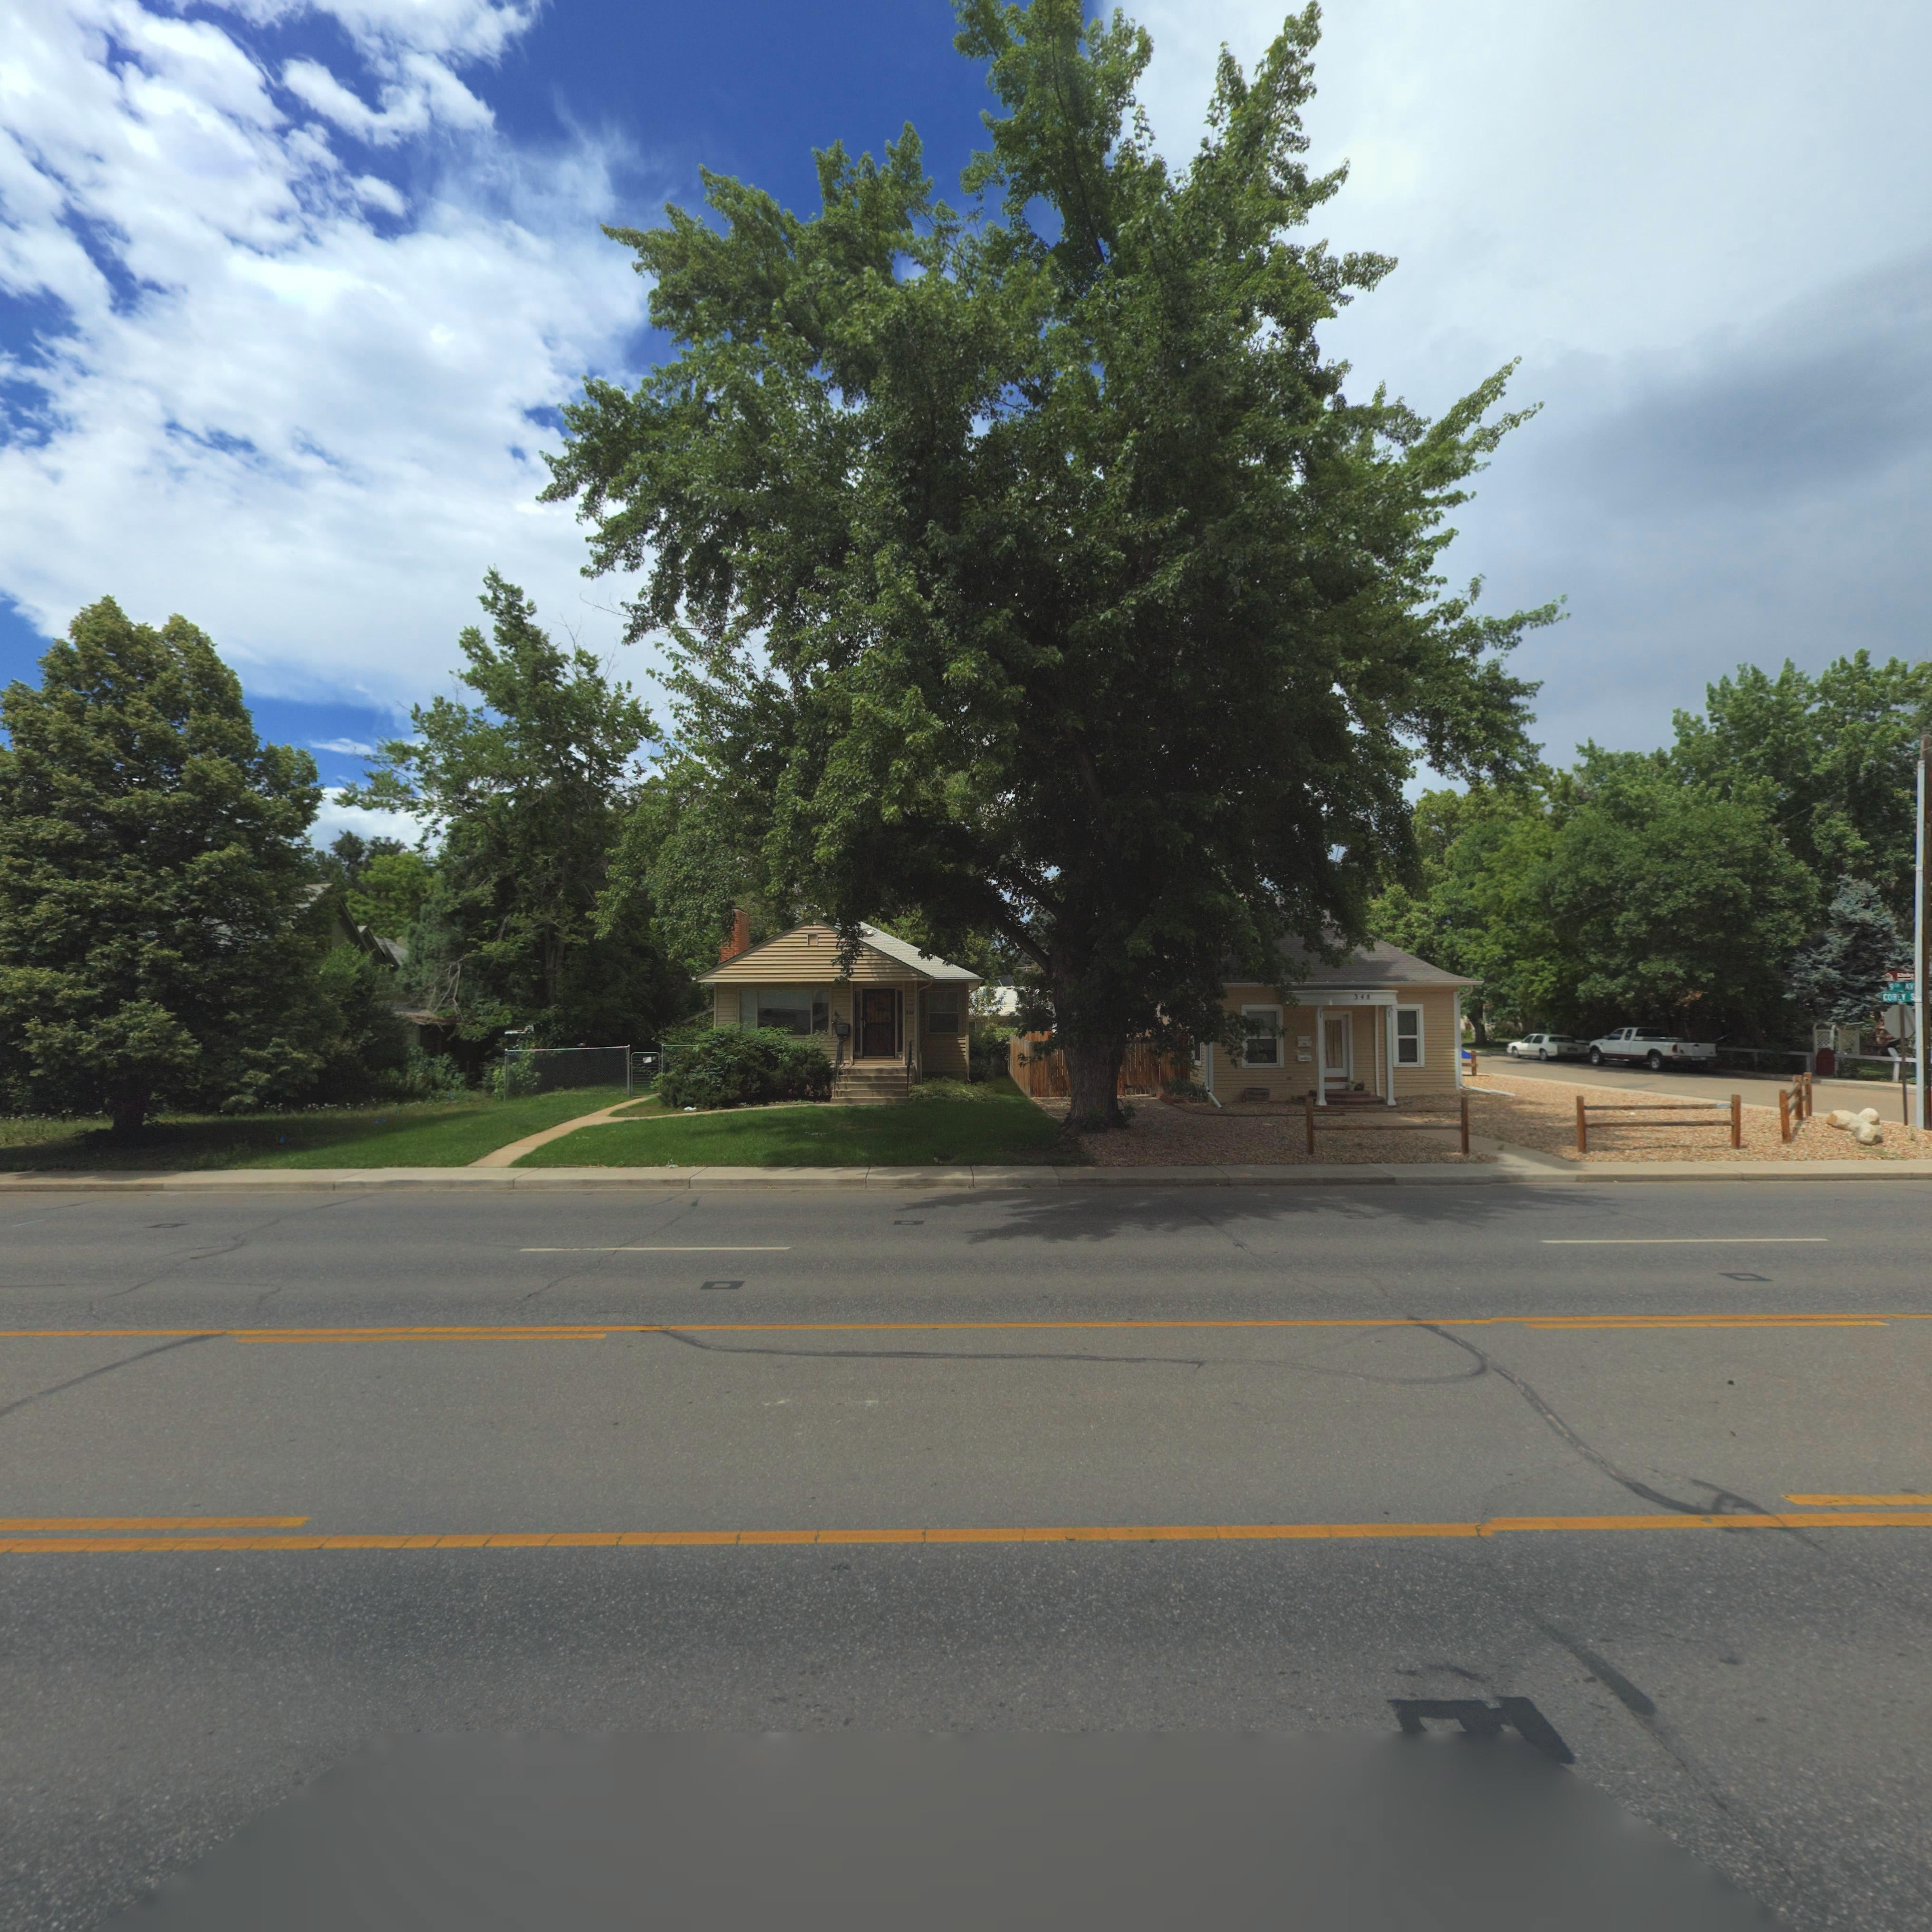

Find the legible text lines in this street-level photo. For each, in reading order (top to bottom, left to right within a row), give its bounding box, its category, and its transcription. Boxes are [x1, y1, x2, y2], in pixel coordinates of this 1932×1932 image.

[1888, 982, 1914, 991] StreetName: 9TH AV
[1353, 993, 1370, 1000] StreetNumber: 348
[1882, 992, 1915, 1001] StreetName: CO*EY S
[906, 1009, 914, 1015] StreetNumber: 354